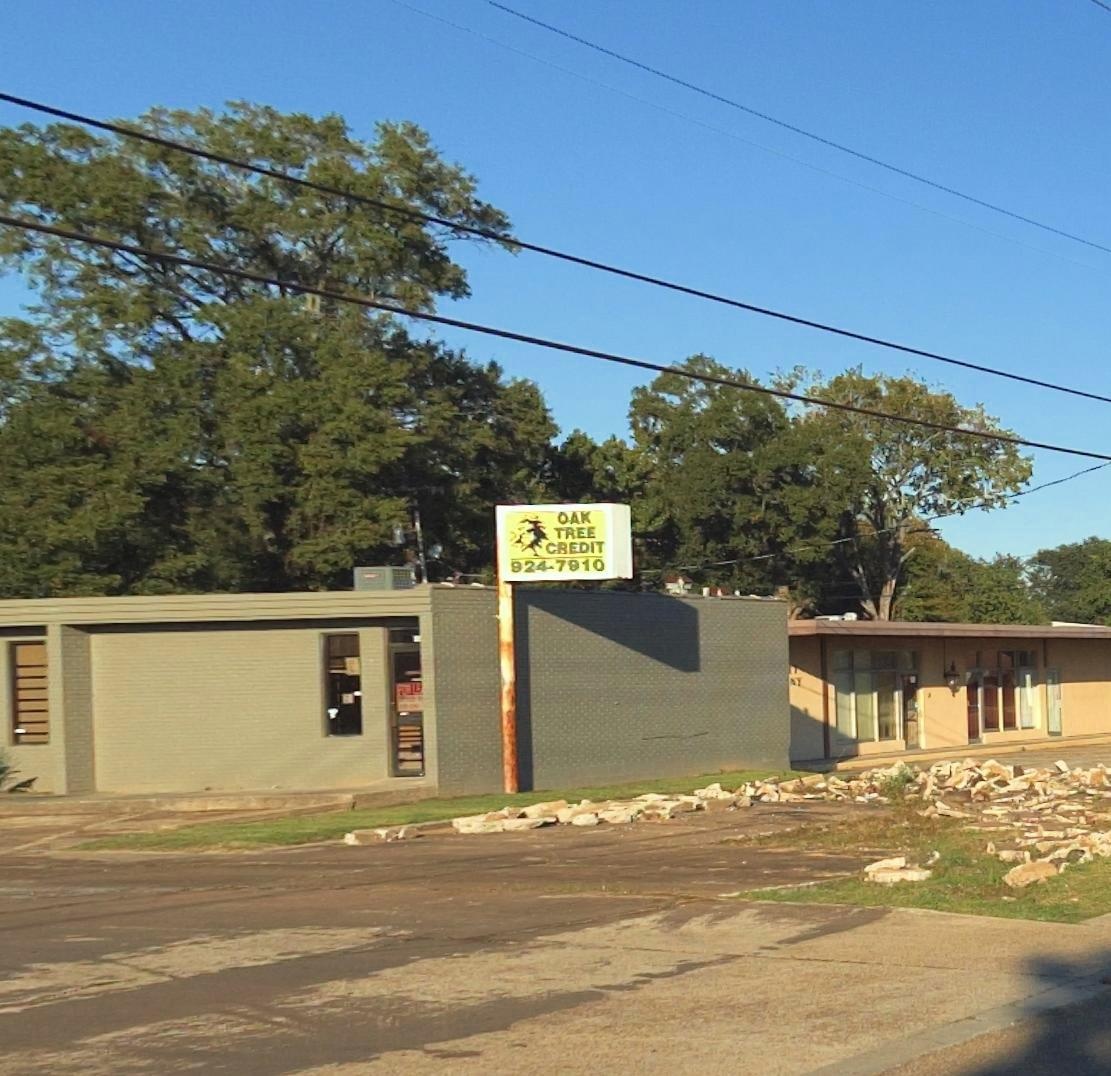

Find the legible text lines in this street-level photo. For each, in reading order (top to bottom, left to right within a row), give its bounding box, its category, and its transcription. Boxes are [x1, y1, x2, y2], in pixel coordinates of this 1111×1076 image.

[557, 510, 592, 526] BusinessName: OAK
[554, 525, 597, 540] BusinessName: TREE
[545, 540, 606, 555] BusinessName: CREDIT
[510, 558, 605, 574] None: 924-7910